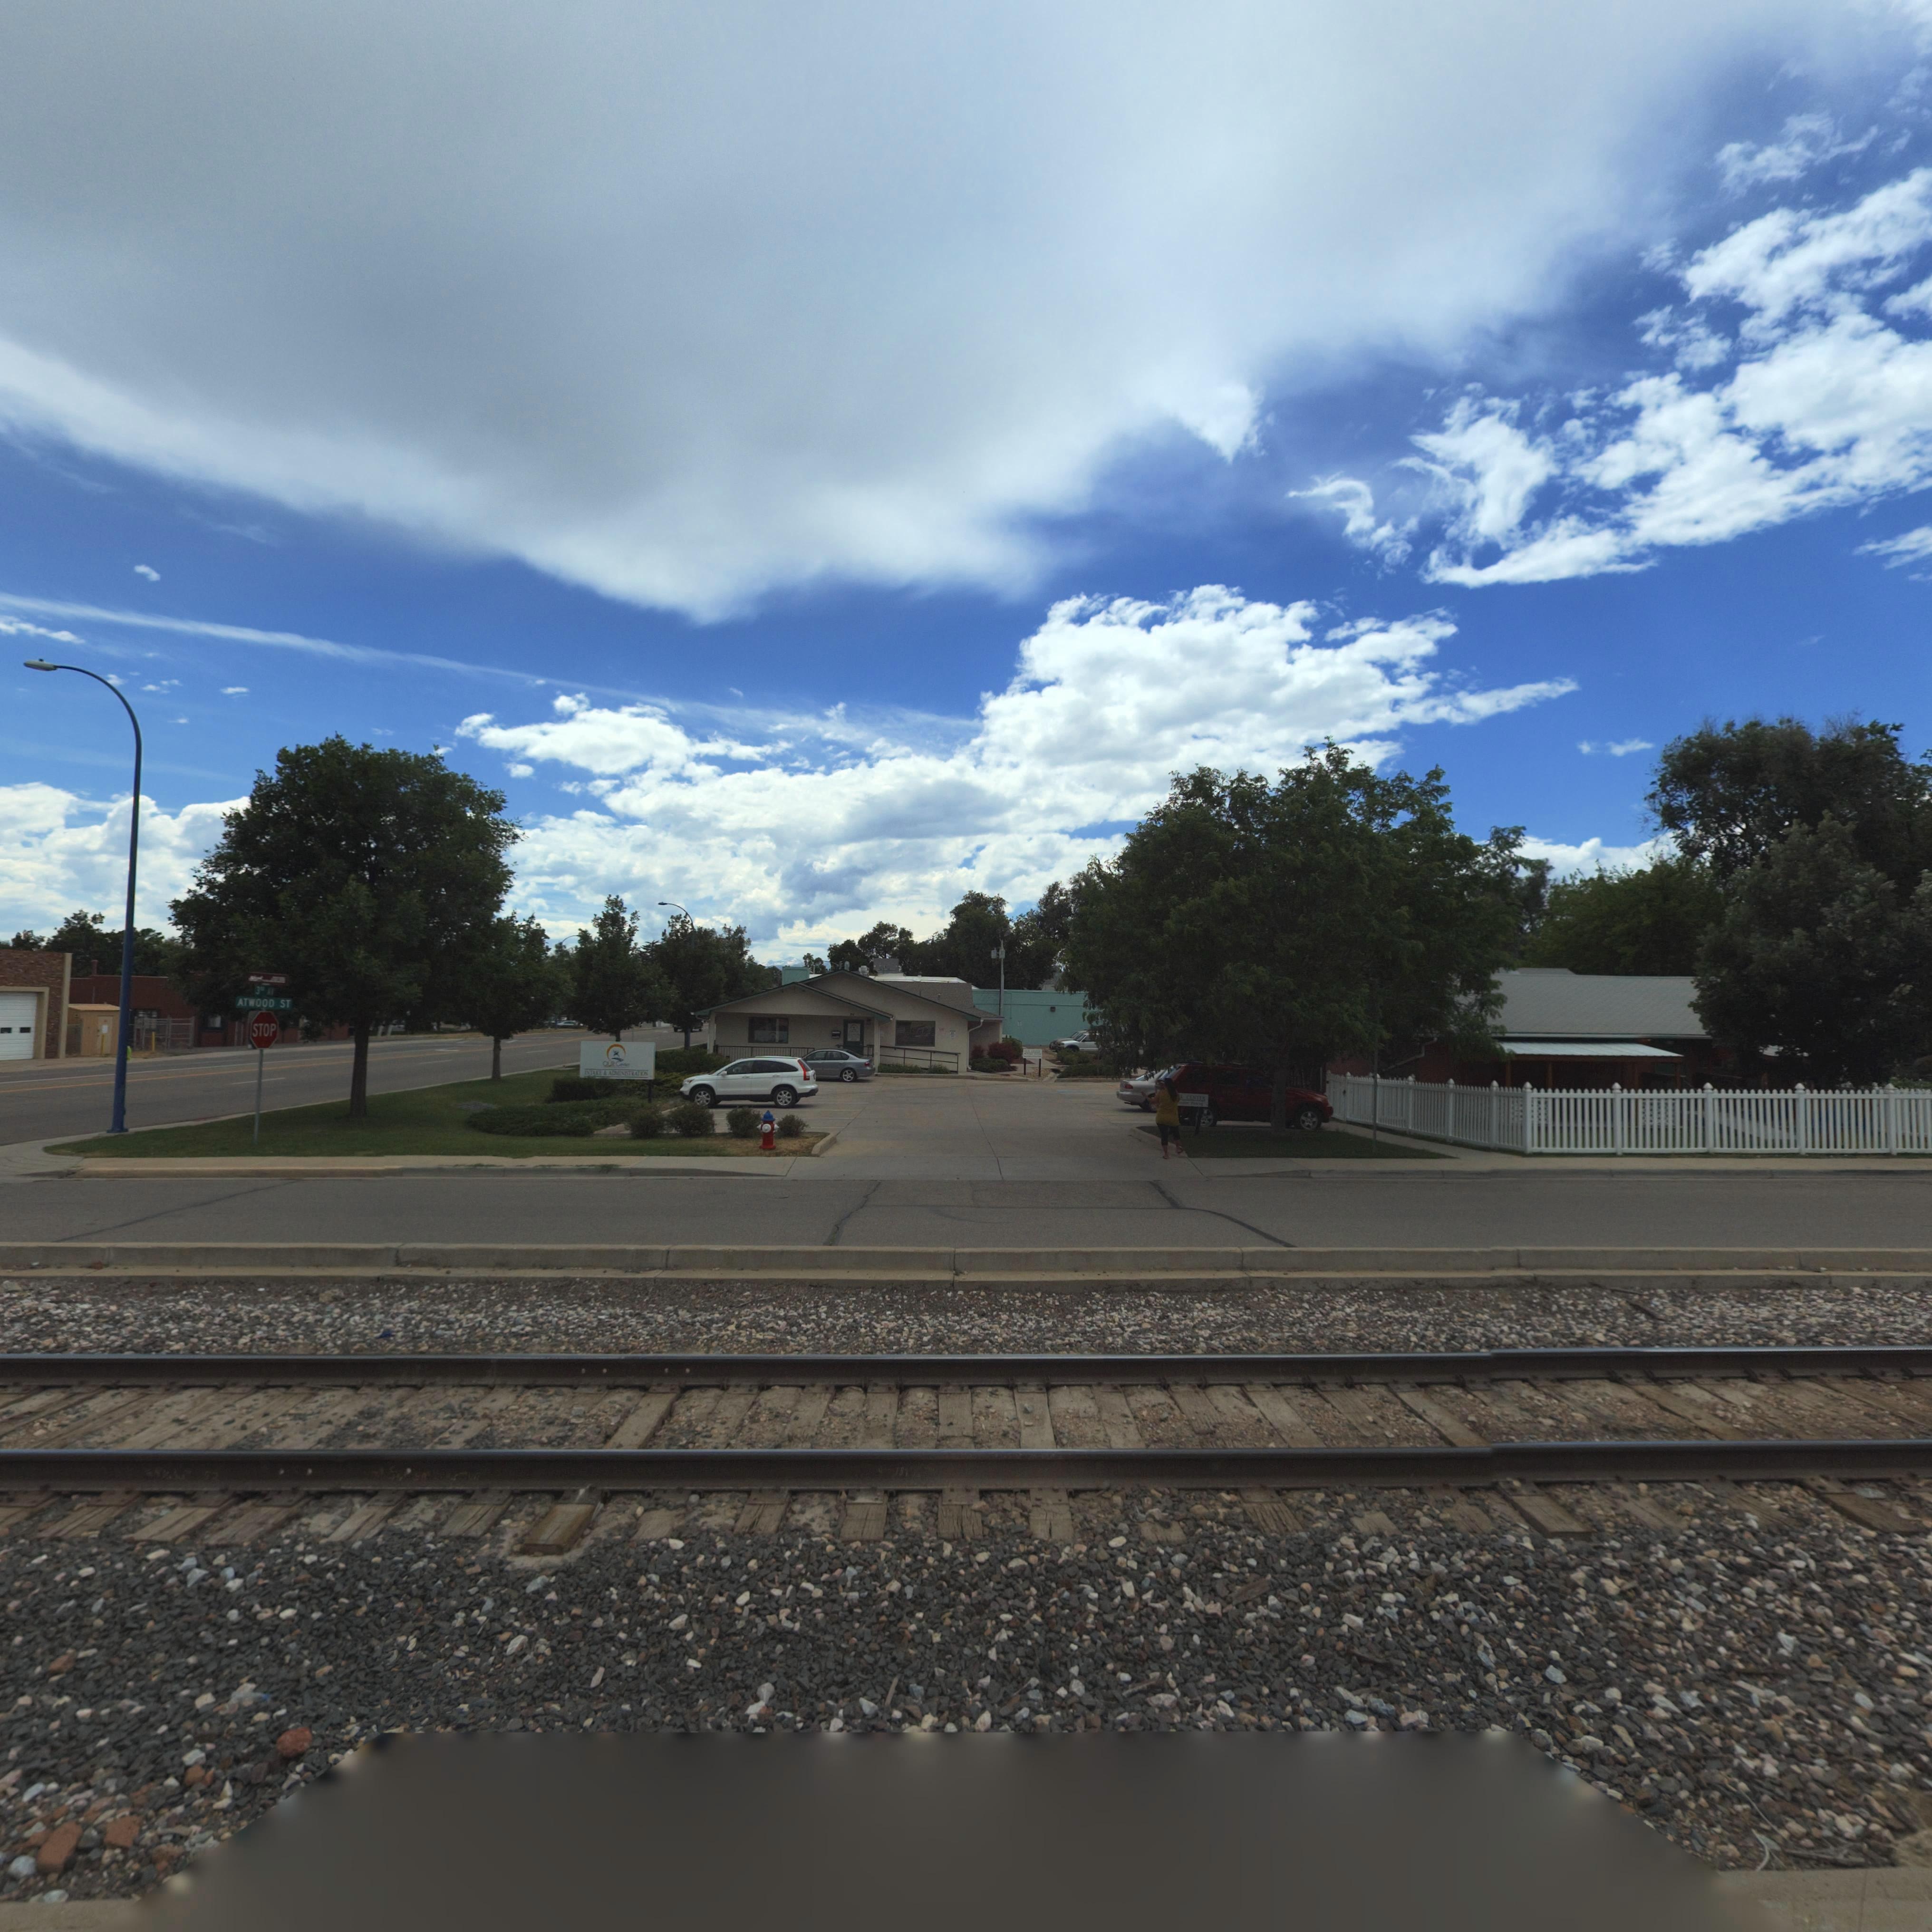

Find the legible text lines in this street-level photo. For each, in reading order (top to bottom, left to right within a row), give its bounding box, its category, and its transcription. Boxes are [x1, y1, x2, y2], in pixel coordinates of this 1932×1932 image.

[255, 985, 275, 996] StreetName: 3rd AV
[236, 997, 291, 1009] StreetName: ATWOOD ST
[602, 1060, 630, 1067] BusinessName: OUR Center
[584, 1069, 648, 1076] BusinessName: INTAKE & ADMINISTRATION